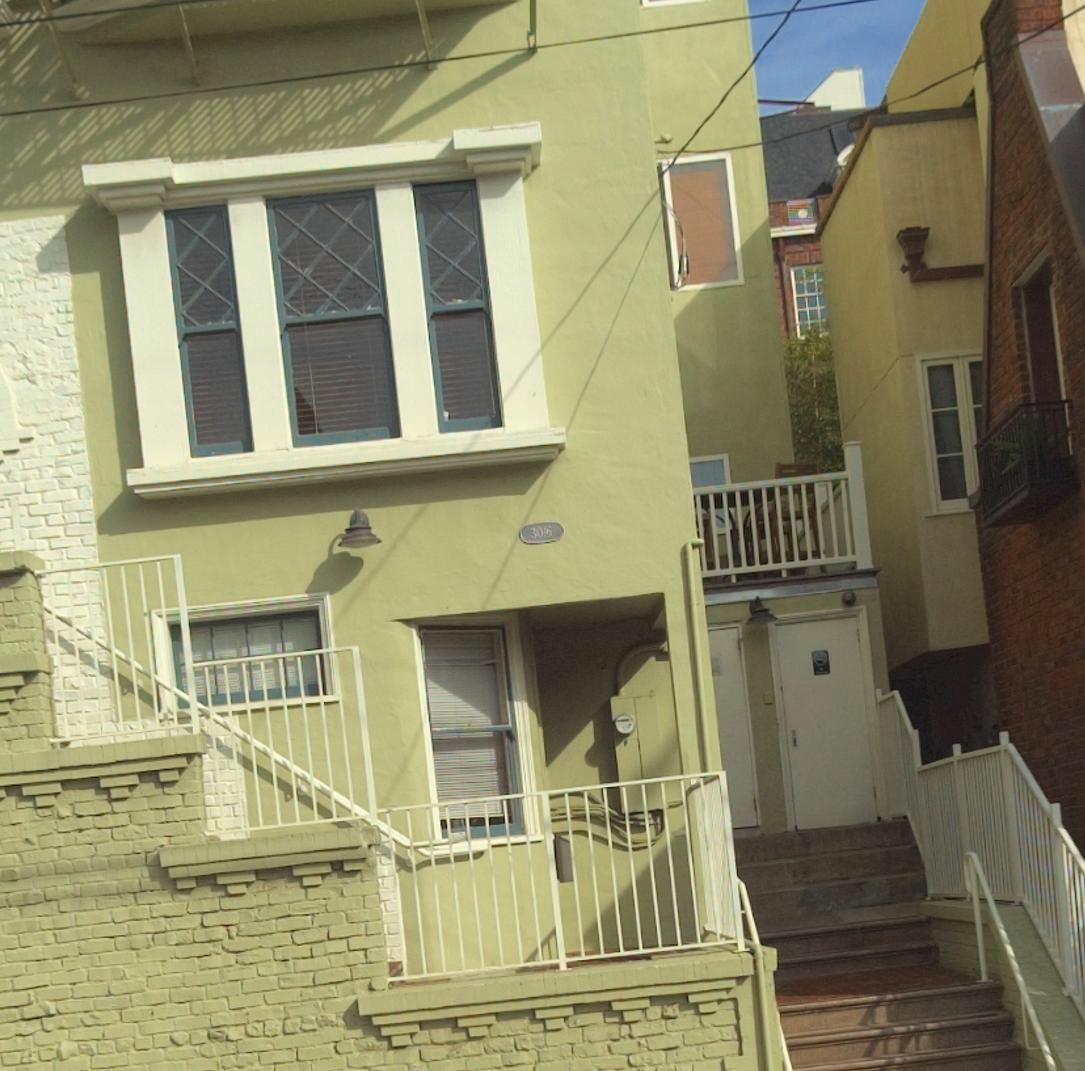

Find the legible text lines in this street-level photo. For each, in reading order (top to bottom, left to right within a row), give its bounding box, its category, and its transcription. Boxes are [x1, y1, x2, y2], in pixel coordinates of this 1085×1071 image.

[528, 525, 554, 540] StreetNumber: 3016